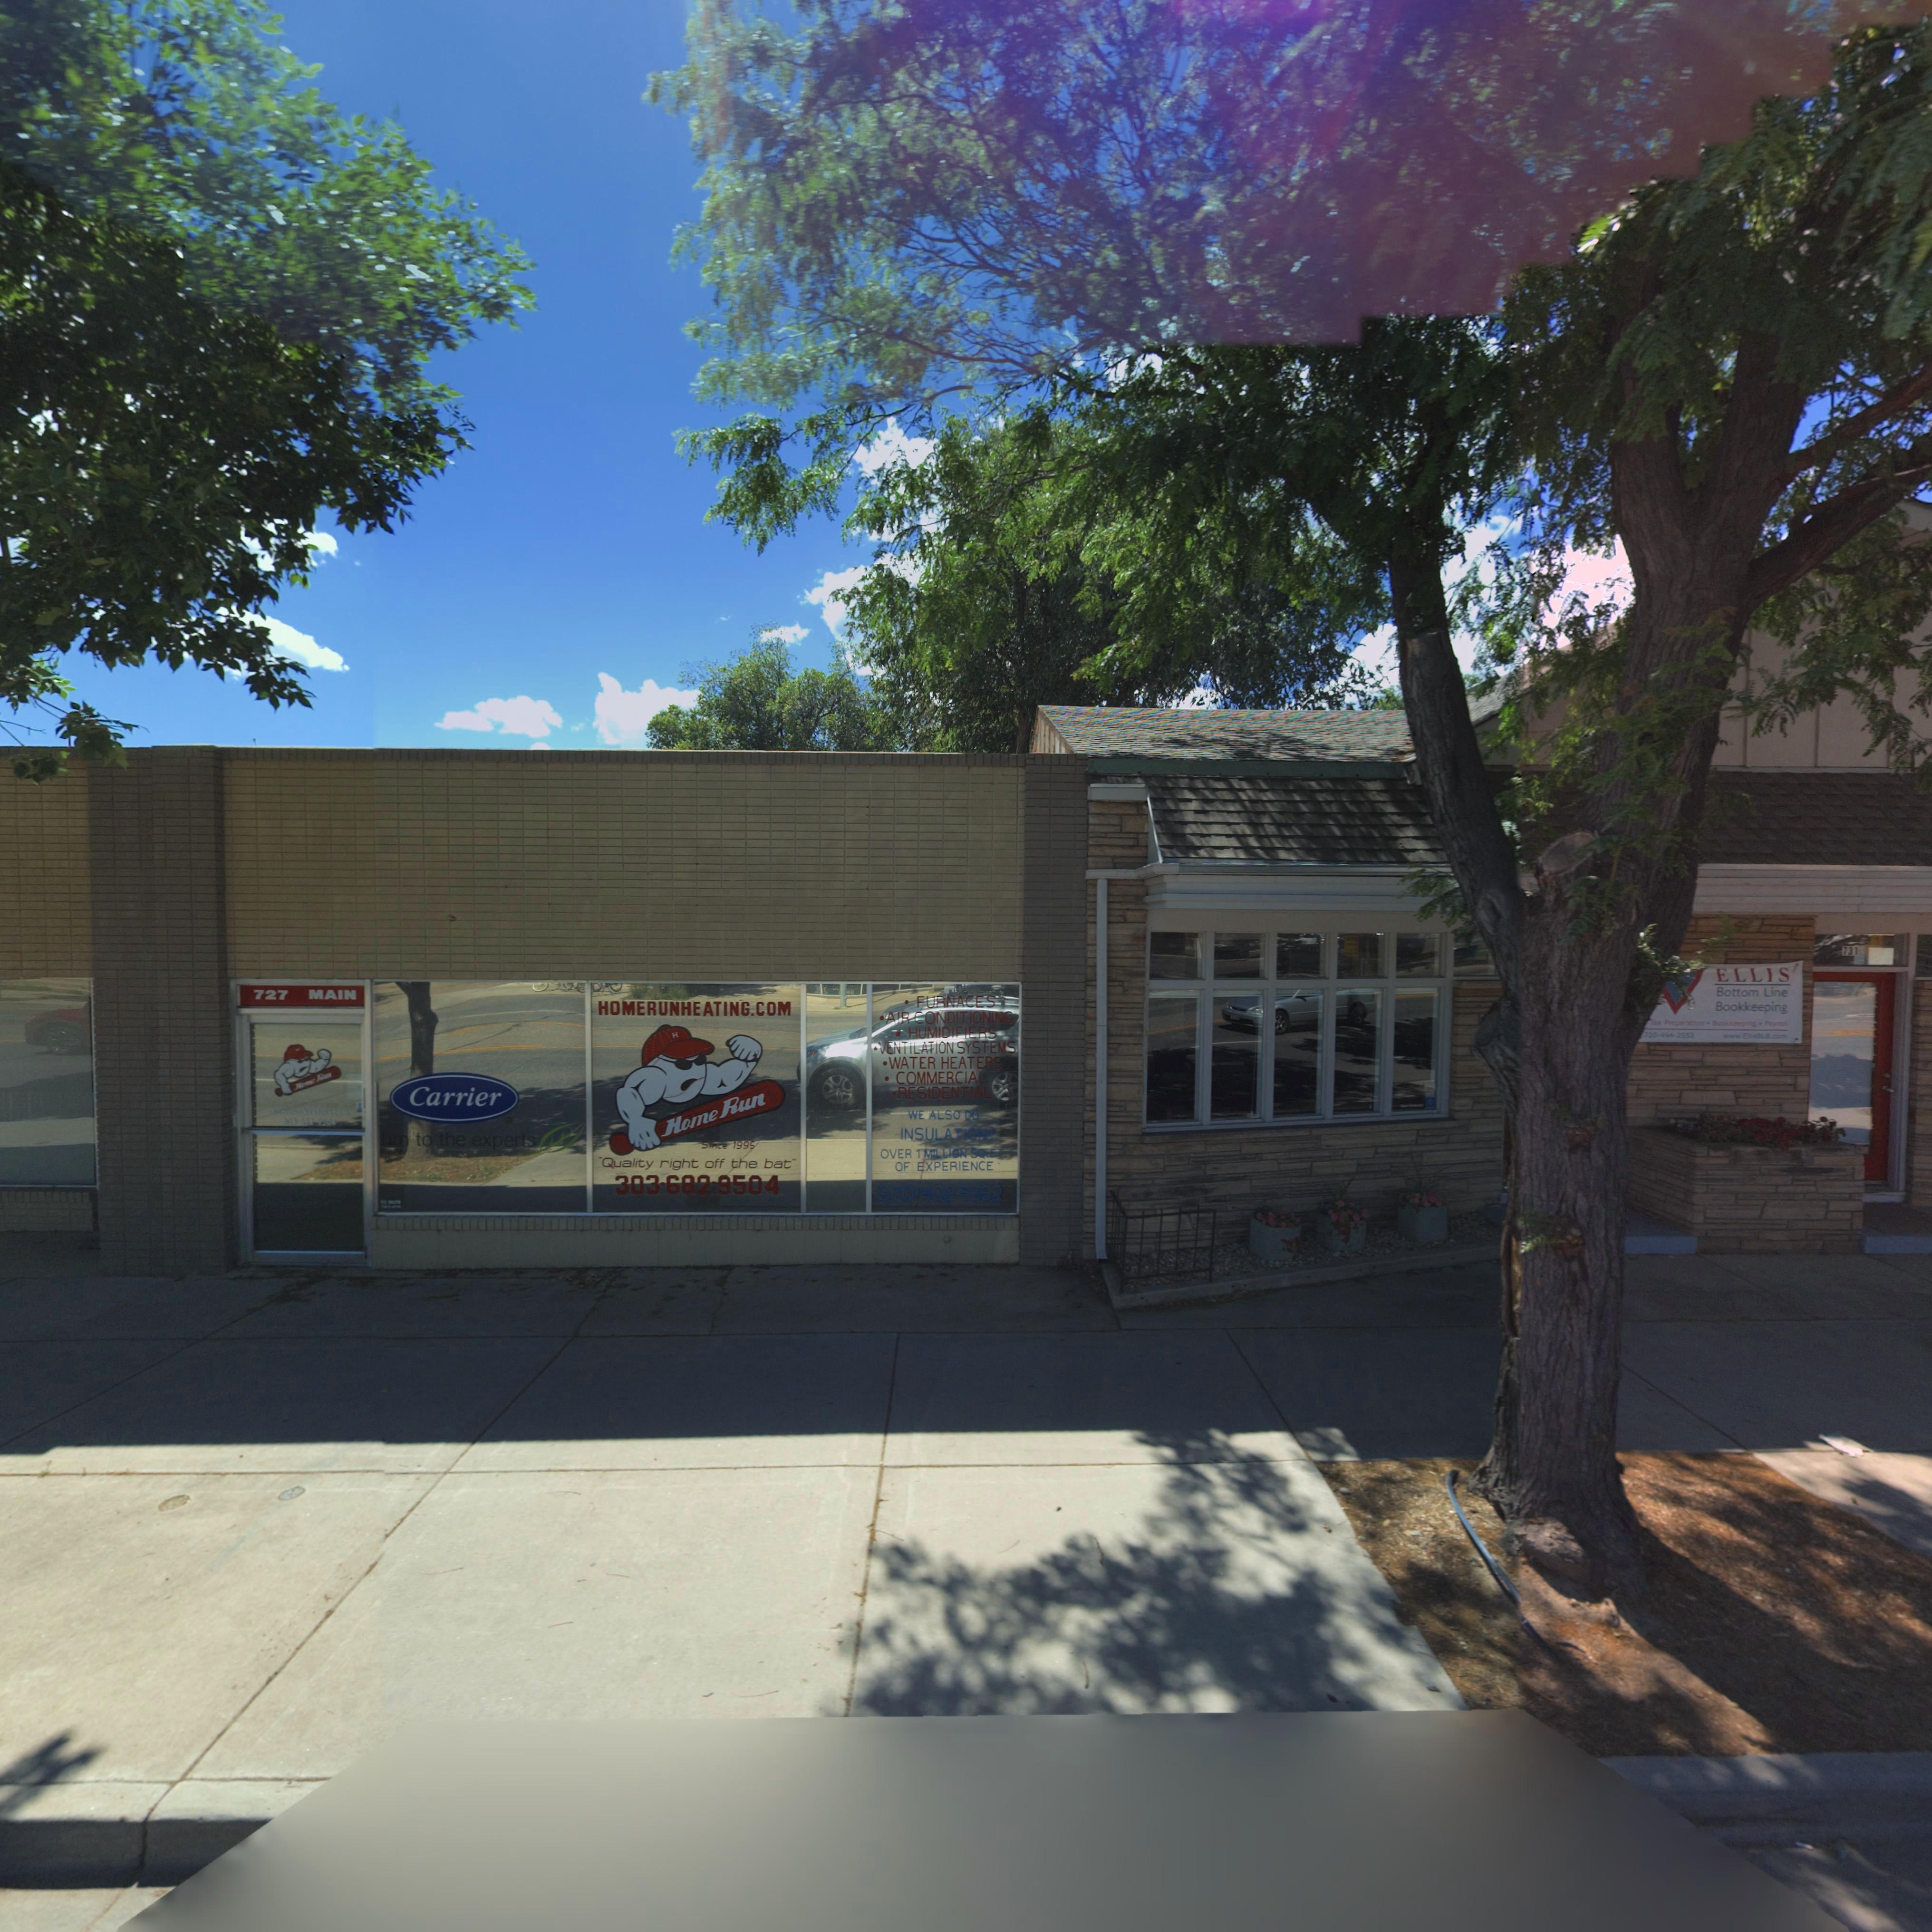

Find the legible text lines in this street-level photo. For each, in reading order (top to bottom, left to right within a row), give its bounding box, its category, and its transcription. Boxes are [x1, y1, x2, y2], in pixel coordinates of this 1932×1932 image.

[1842, 946, 1858, 956] StreetNumber: 731
[1716, 967, 1790, 983] BusinessName: ELLIS
[253, 989, 288, 1001] StreetNumber: 727
[308, 989, 357, 1000] StreetName: MAIN
[1717, 986, 1788, 997] BusinessName: Bottom Line
[1715, 1000, 1788, 1015] BusinessName: Bookkeeping
[294, 1072, 331, 1092] BusinessName: H*me R*n
[660, 1092, 766, 1137] BusinessName: Home Run